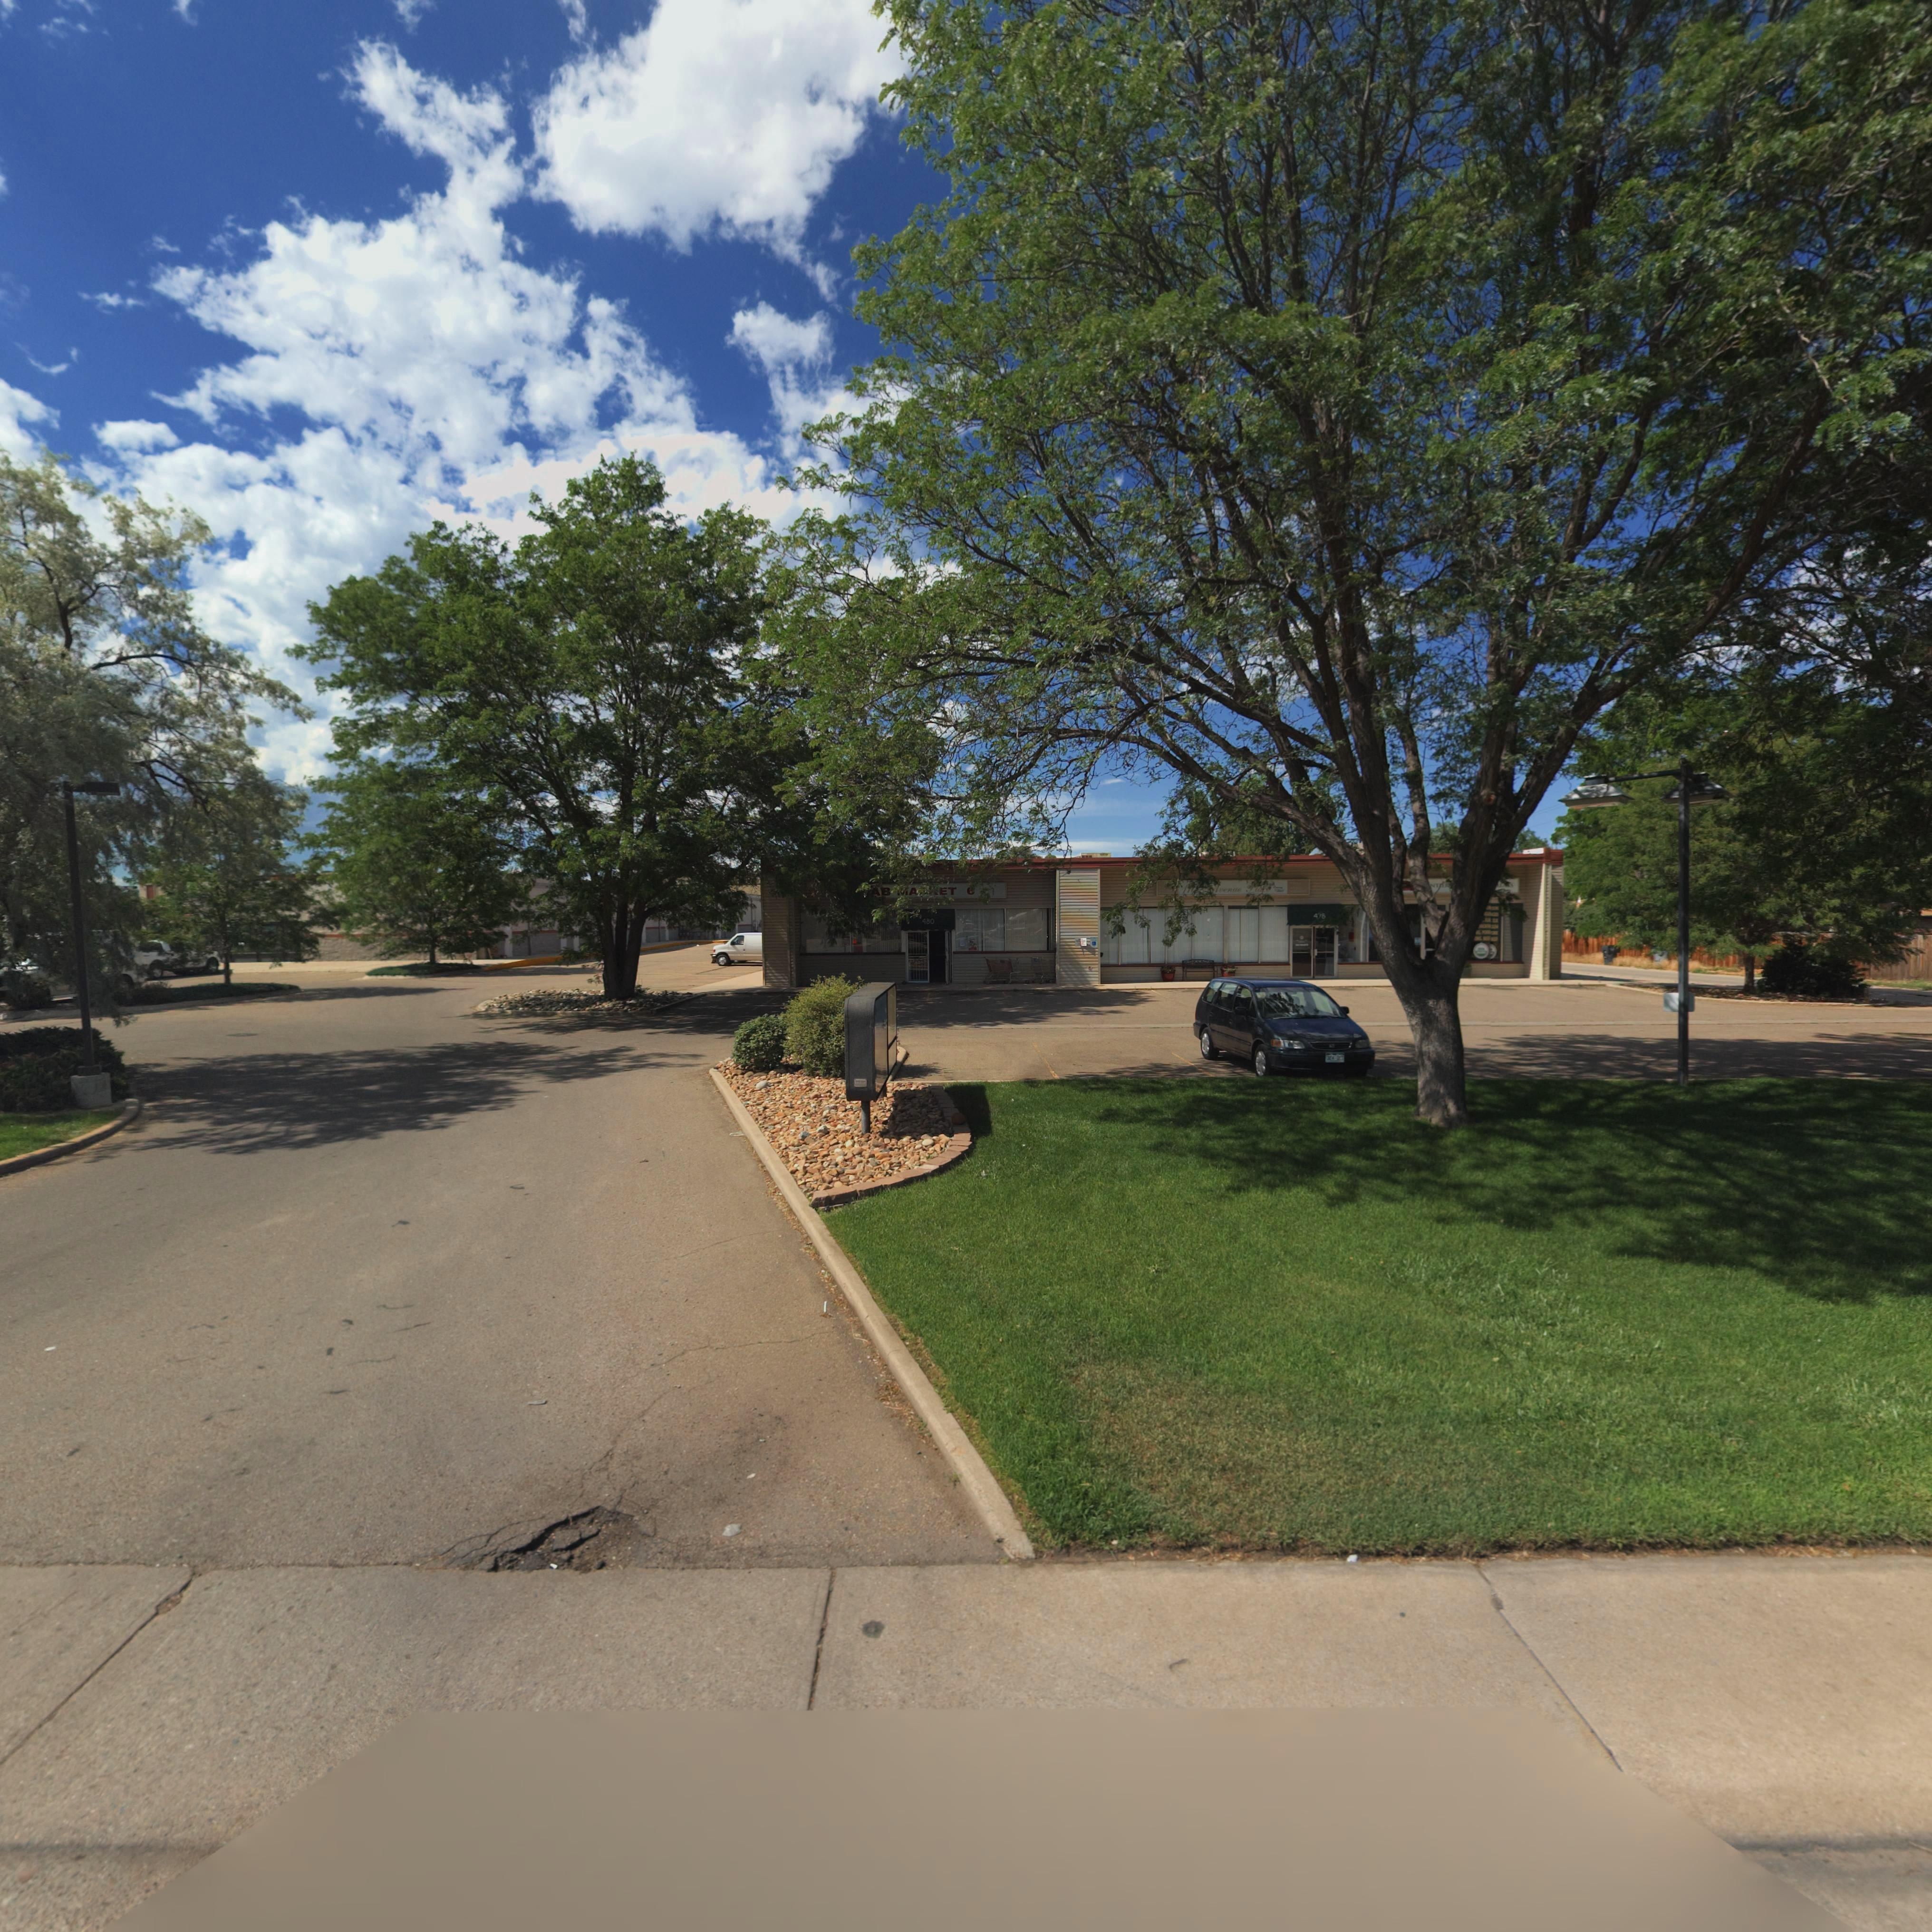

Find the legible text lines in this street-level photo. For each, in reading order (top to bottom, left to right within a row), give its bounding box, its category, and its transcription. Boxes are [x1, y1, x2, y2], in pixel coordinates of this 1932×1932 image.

[869, 886, 976, 896] BusinessName: ** ****ET *
[1181, 880, 1272, 894] BusinessName: 1*** *venue *****
[1412, 881, 1515, 889] BusinessName: ***NT**** ******* ****S
[921, 918, 935, 924] StreetNumber: 480